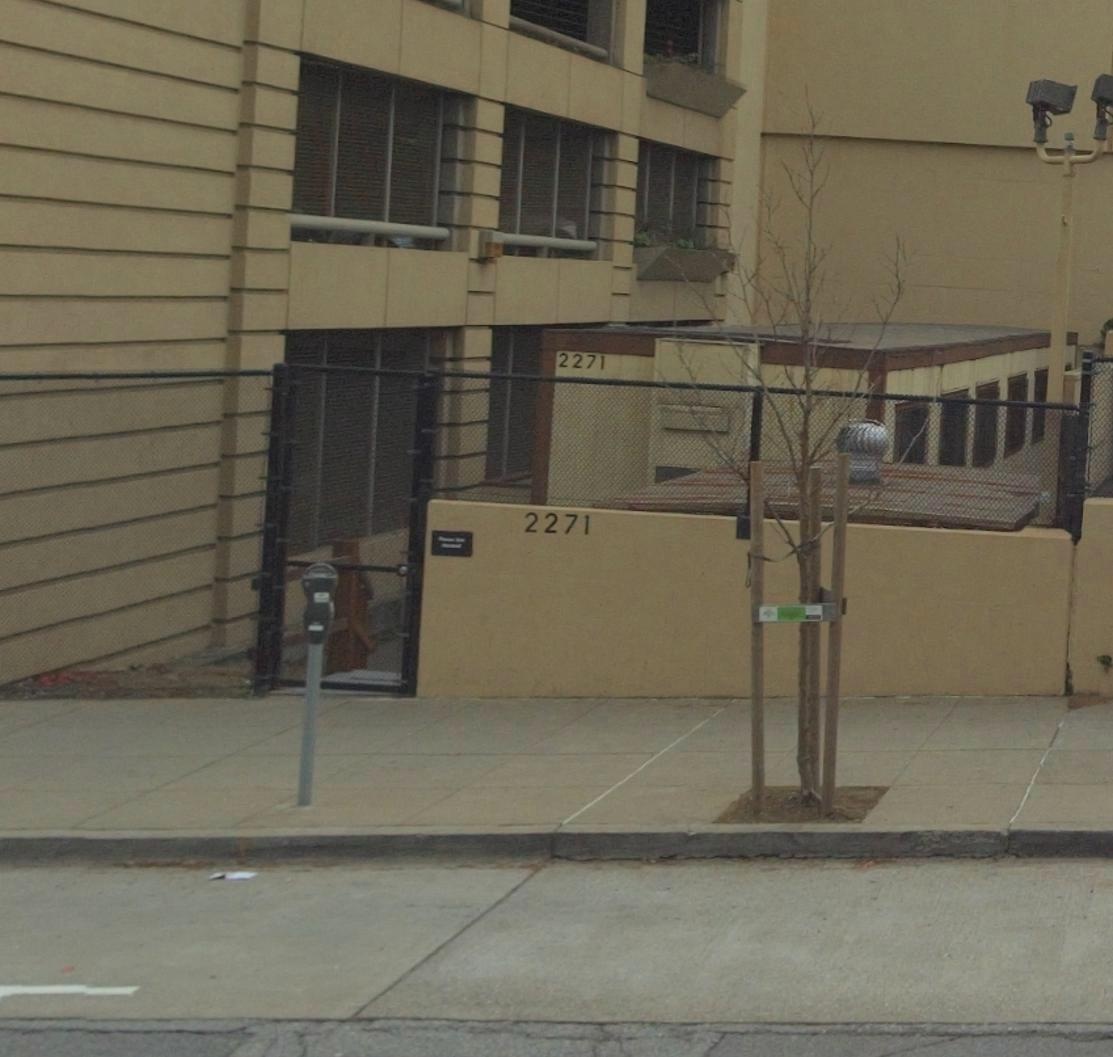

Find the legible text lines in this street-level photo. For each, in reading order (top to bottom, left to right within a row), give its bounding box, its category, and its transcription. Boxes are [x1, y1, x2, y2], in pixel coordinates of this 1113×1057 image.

[557, 350, 607, 372] StreetNumber: 2271
[523, 510, 592, 538] StreetNumber: 2271